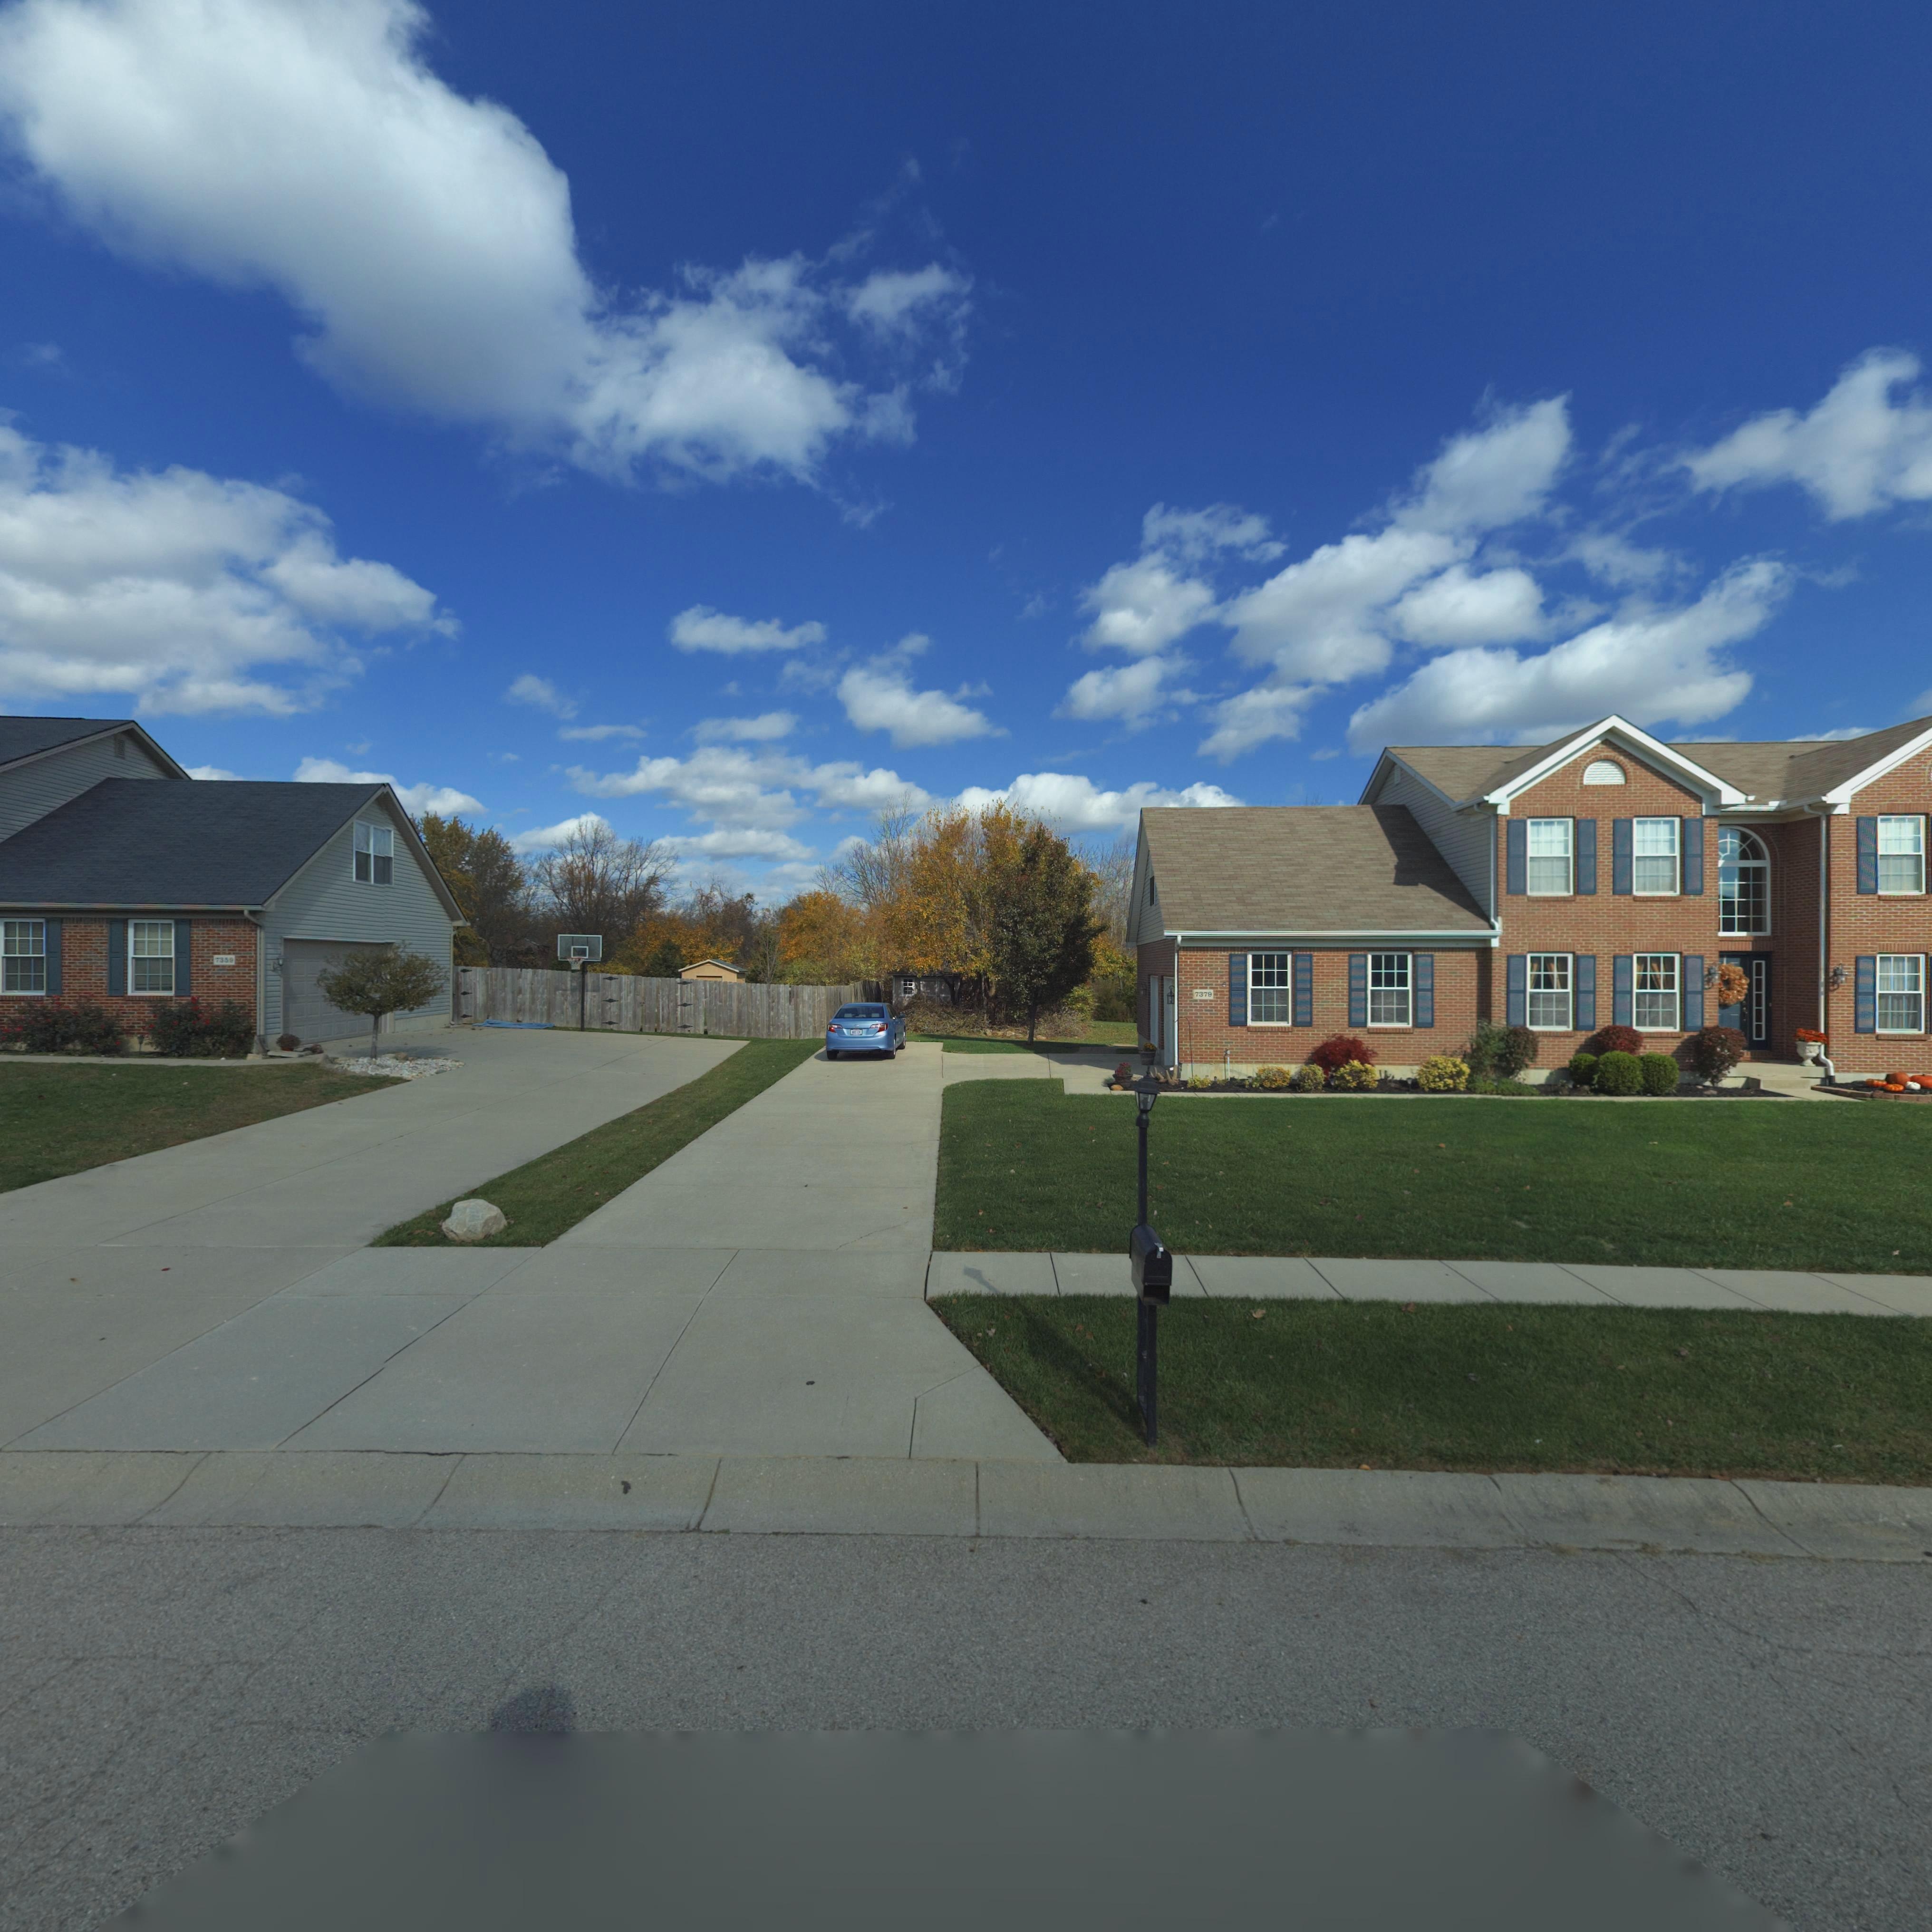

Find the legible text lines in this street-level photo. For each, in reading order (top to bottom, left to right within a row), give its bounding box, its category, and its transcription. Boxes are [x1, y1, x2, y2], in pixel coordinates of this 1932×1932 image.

[214, 956, 234, 964] StreetNumber: 735*
[1194, 991, 1212, 997] StreetNumber: 7379